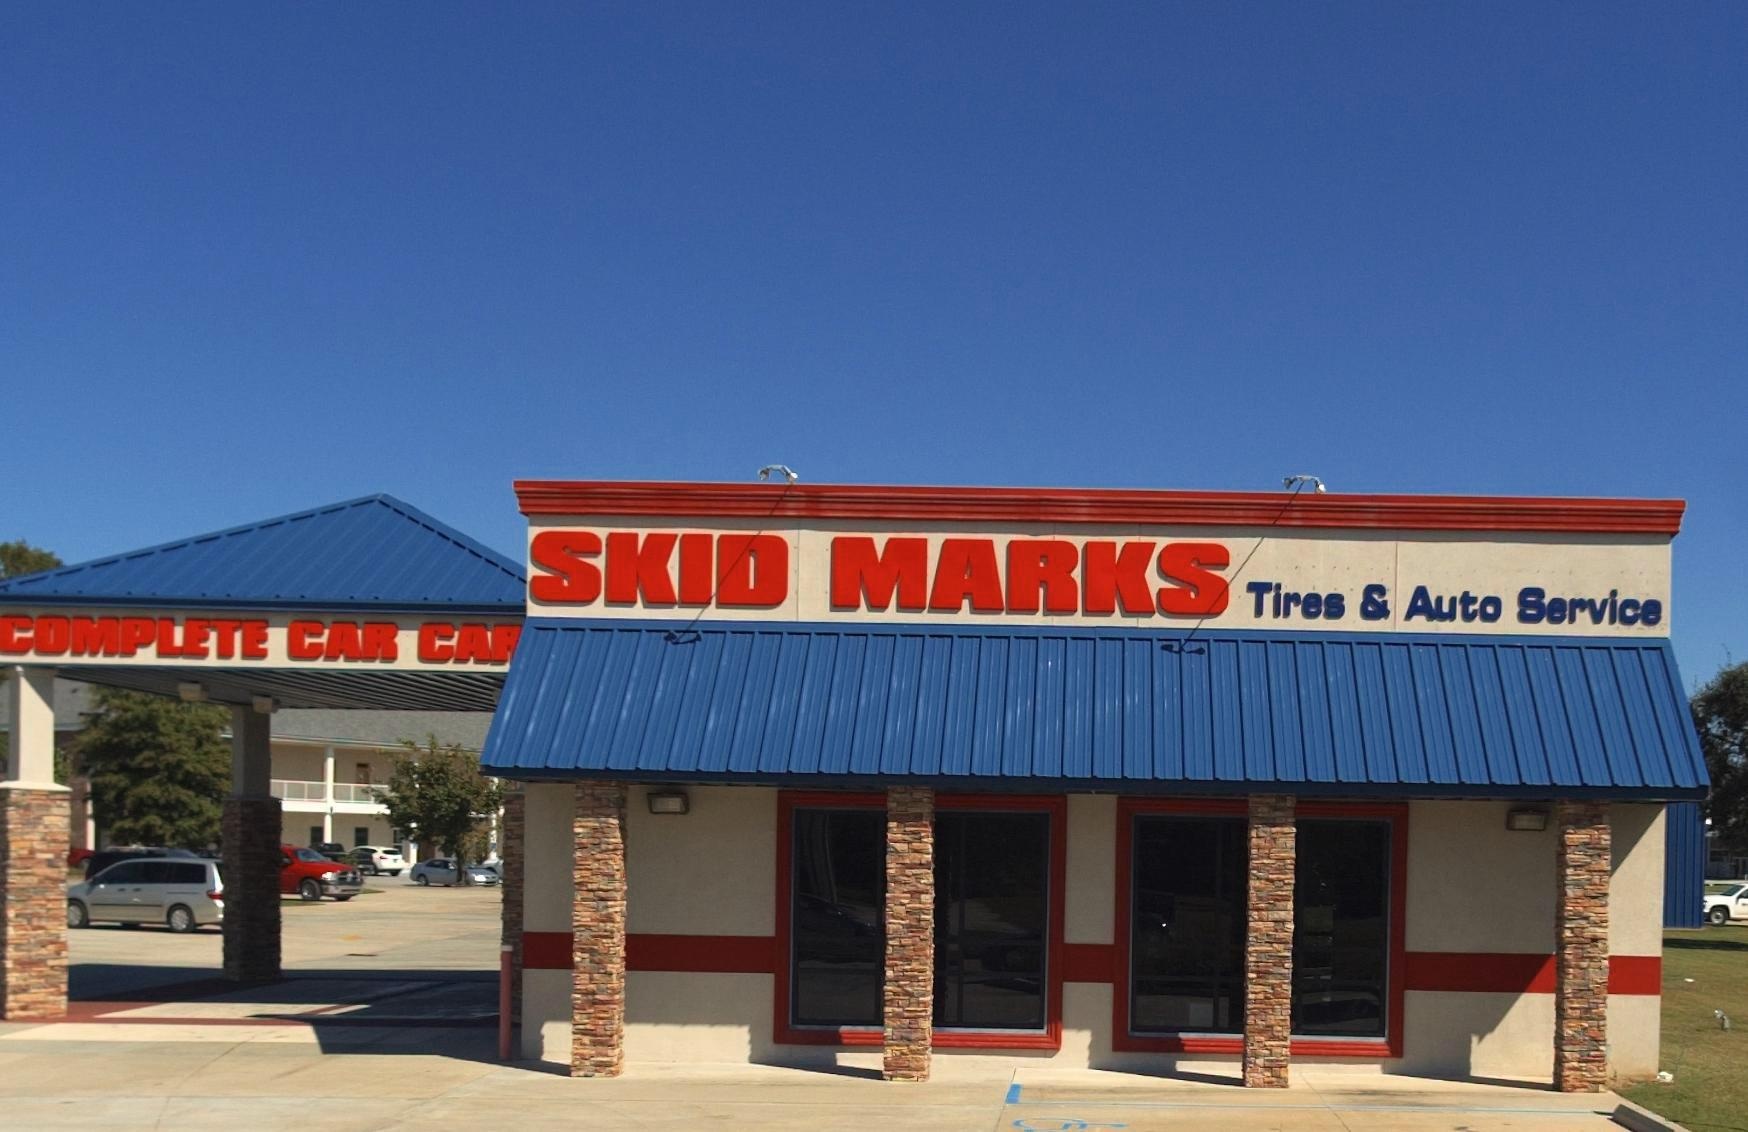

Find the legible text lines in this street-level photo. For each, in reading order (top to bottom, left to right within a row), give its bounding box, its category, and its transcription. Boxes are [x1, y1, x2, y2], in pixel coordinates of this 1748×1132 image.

[528, 527, 1232, 618] BusinessName: SKID MARKS
[1244, 578, 1668, 630] None: Tires & Auto Service
[0, 613, 494, 664] None: COMPLETE CAR CA